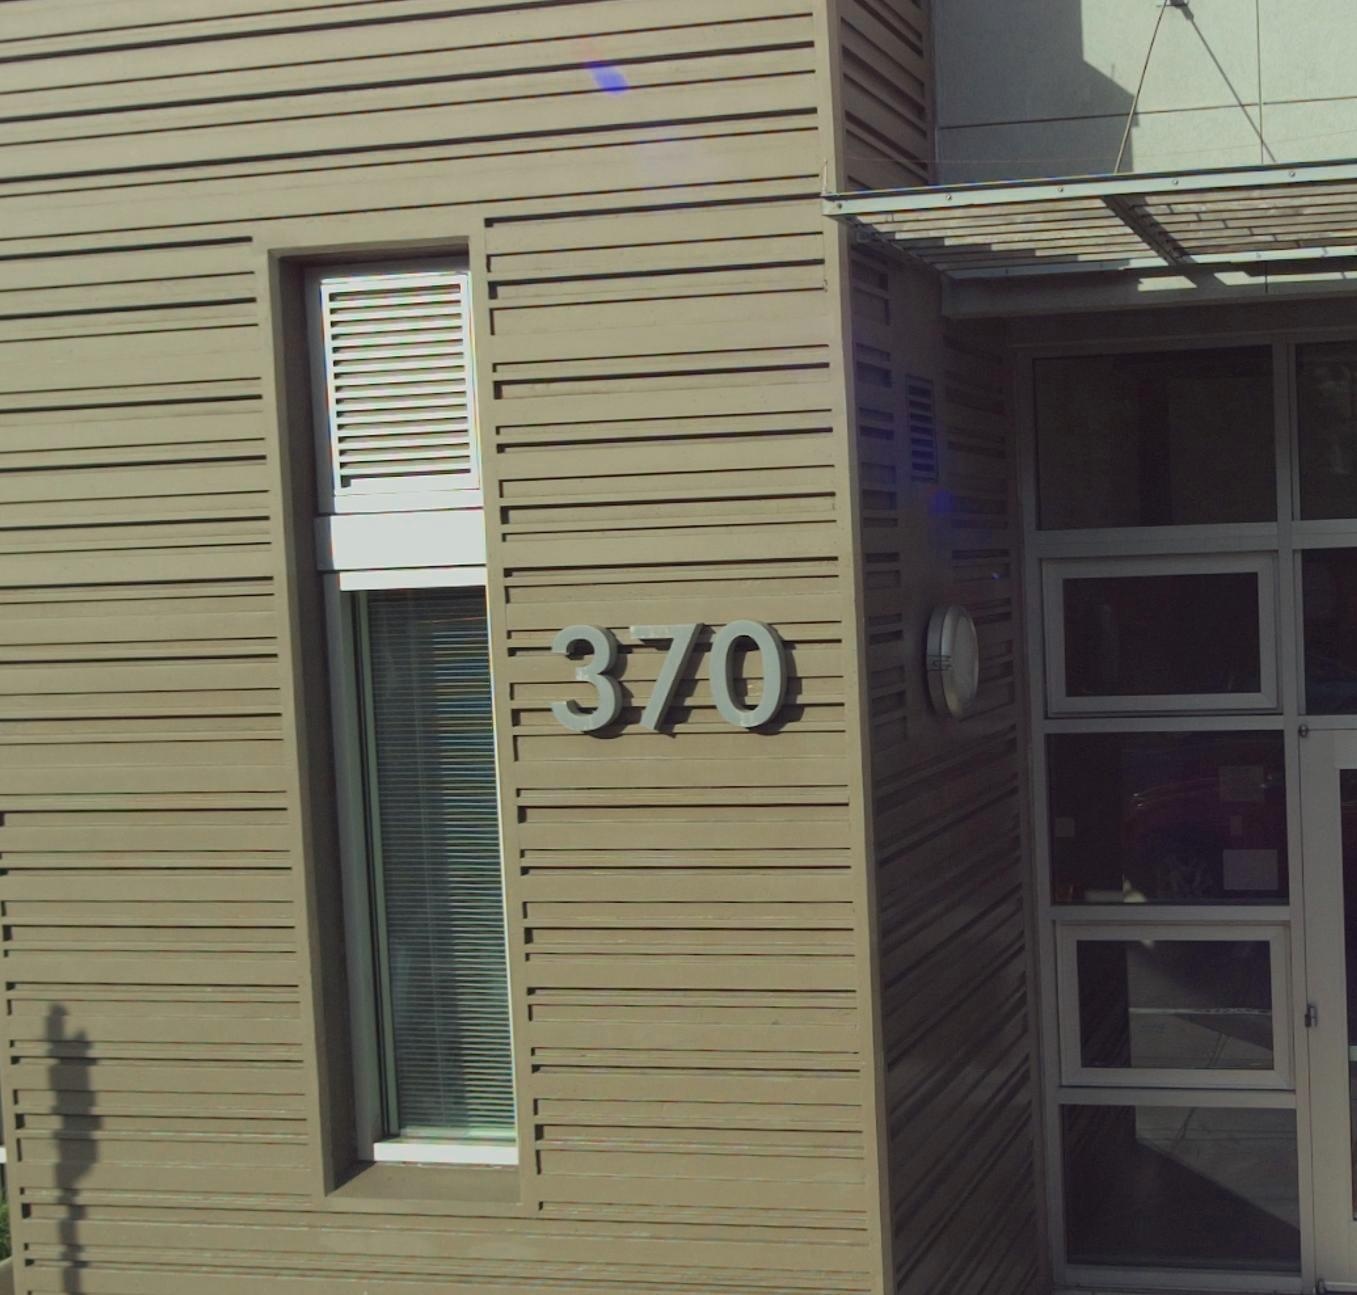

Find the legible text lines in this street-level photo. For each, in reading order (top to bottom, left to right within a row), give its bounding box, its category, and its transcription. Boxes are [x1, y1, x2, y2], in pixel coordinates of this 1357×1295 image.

[550, 620, 790, 736] StreetNumber: 370